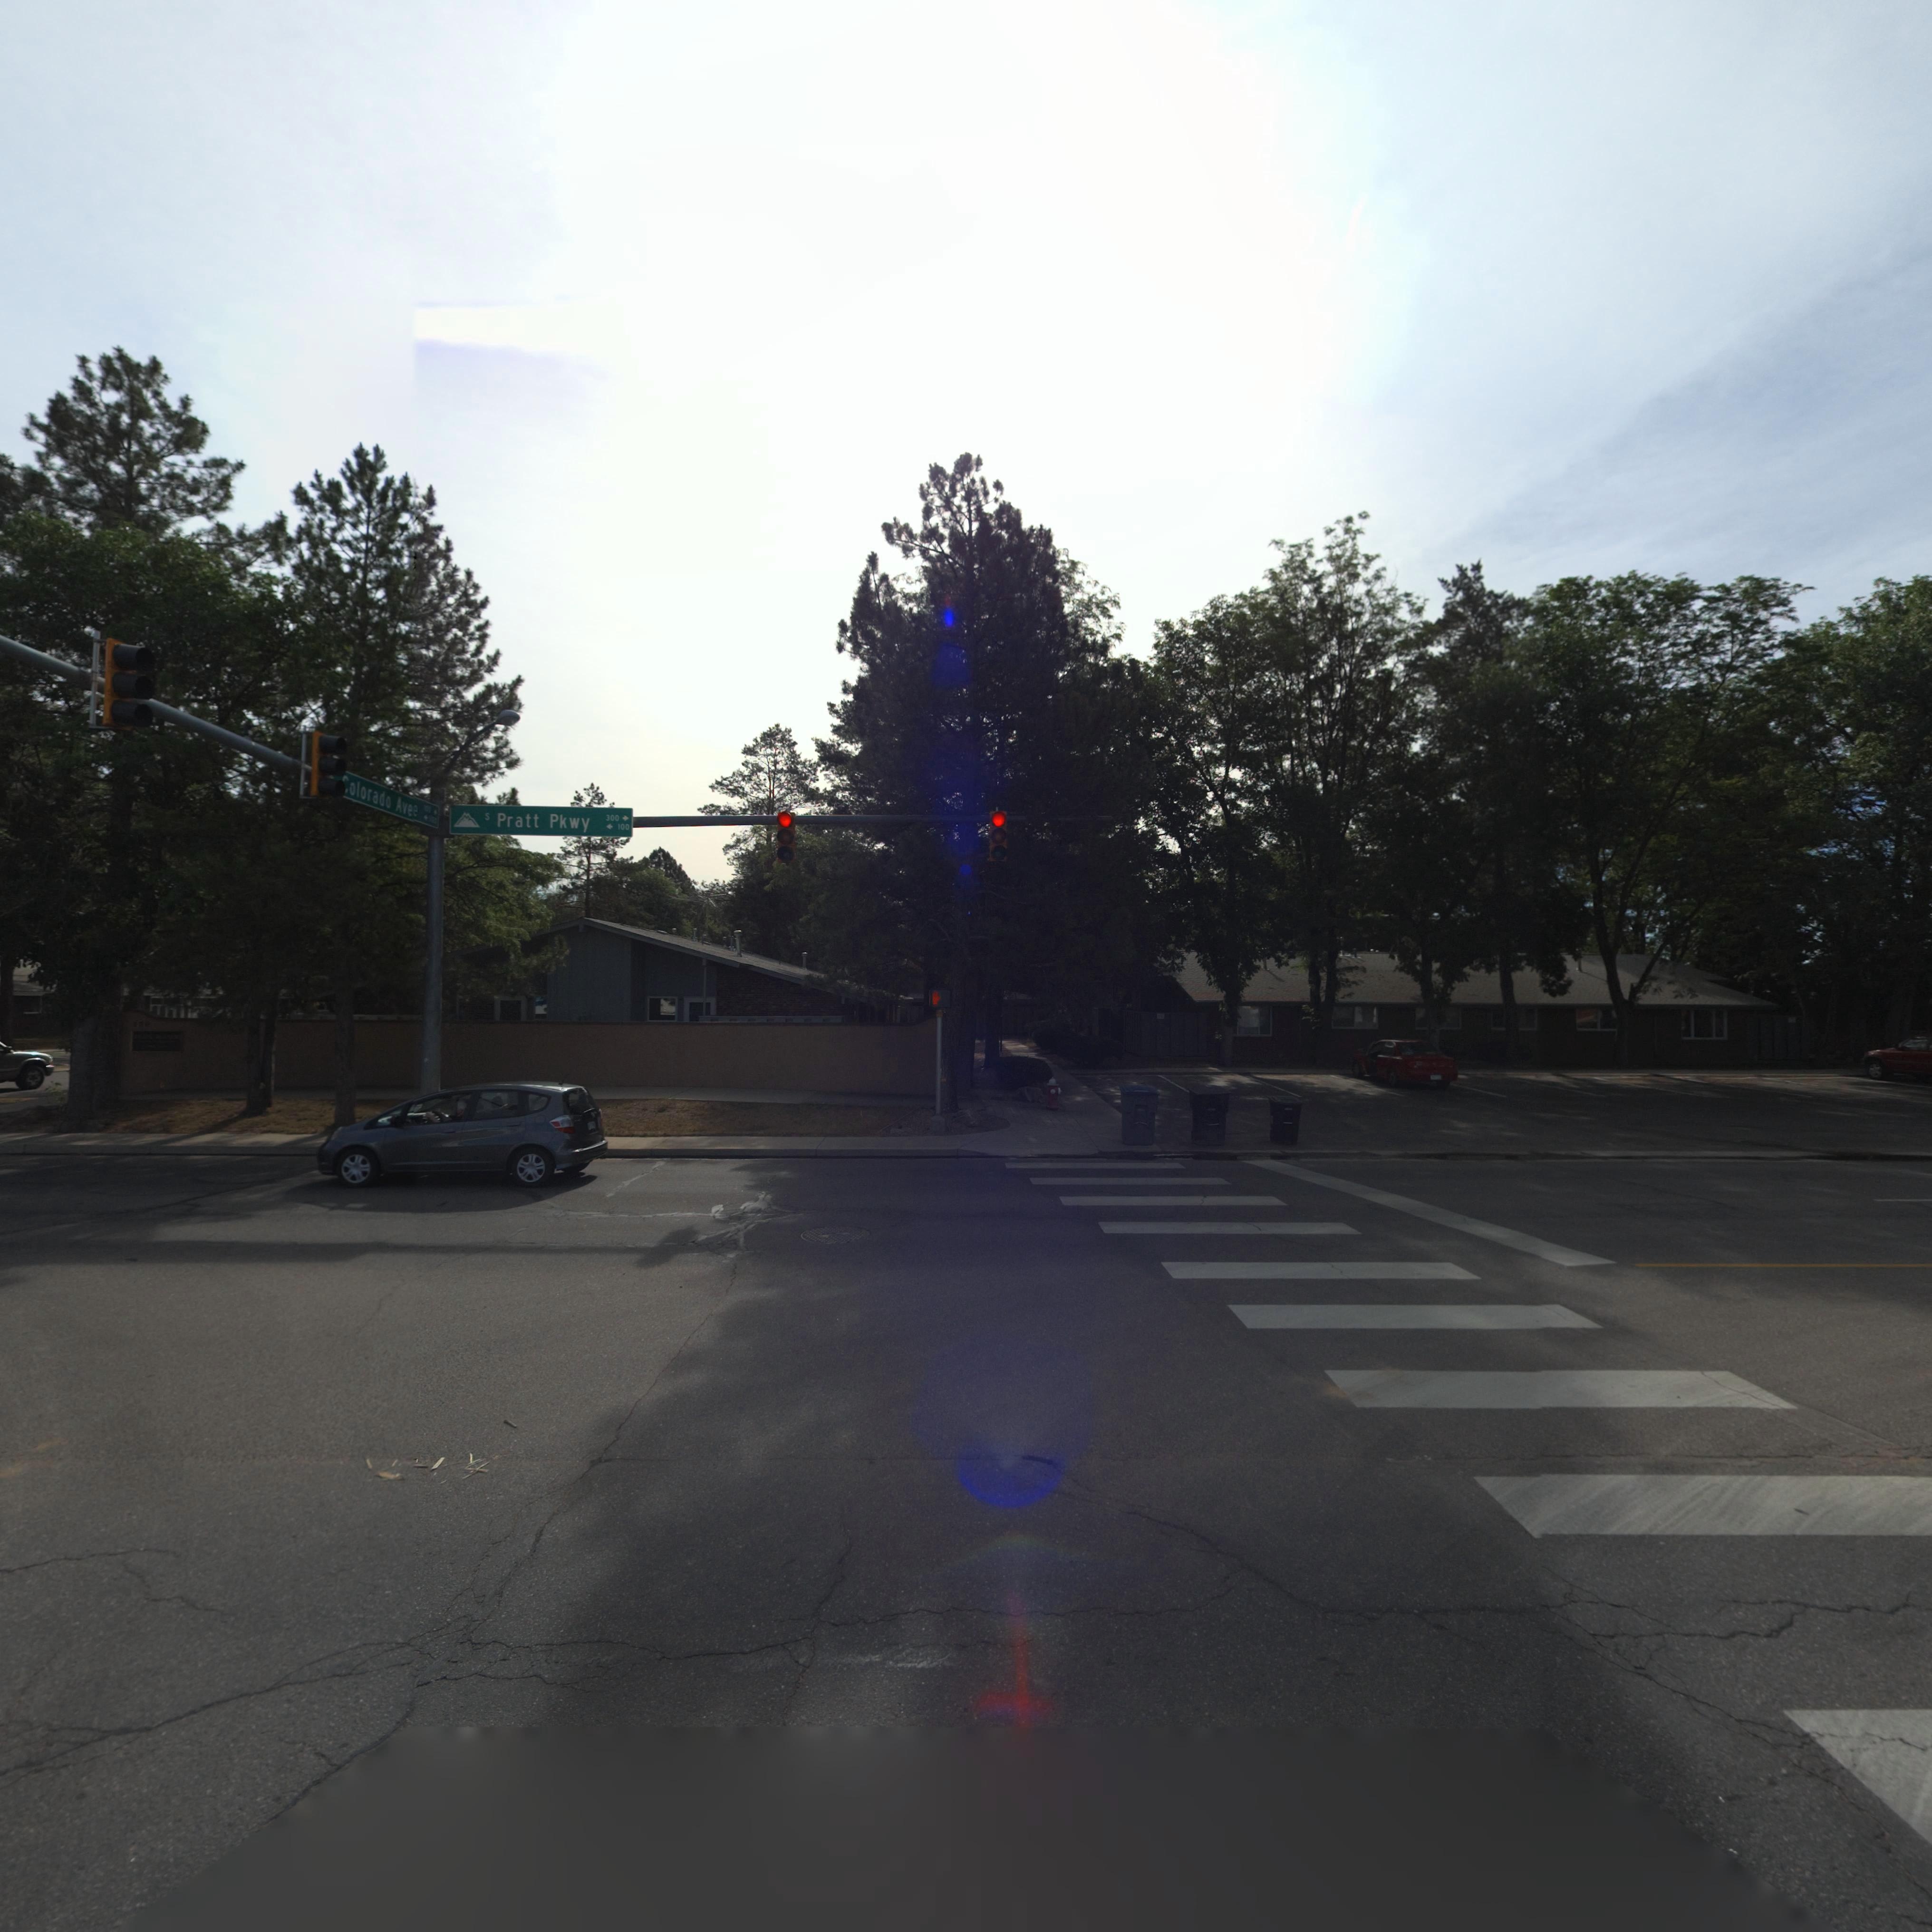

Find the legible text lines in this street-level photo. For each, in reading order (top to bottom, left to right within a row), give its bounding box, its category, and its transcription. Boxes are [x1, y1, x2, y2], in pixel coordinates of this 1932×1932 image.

[340, 773, 419, 818] StreetName: *olorado Avee
[483, 812, 592, 833] StreetName: S Pratt Pkwy
[605, 814, 629, 822] StreetNumberRange: 300->
[605, 822, 630, 831] StreetNumberRange: <-100